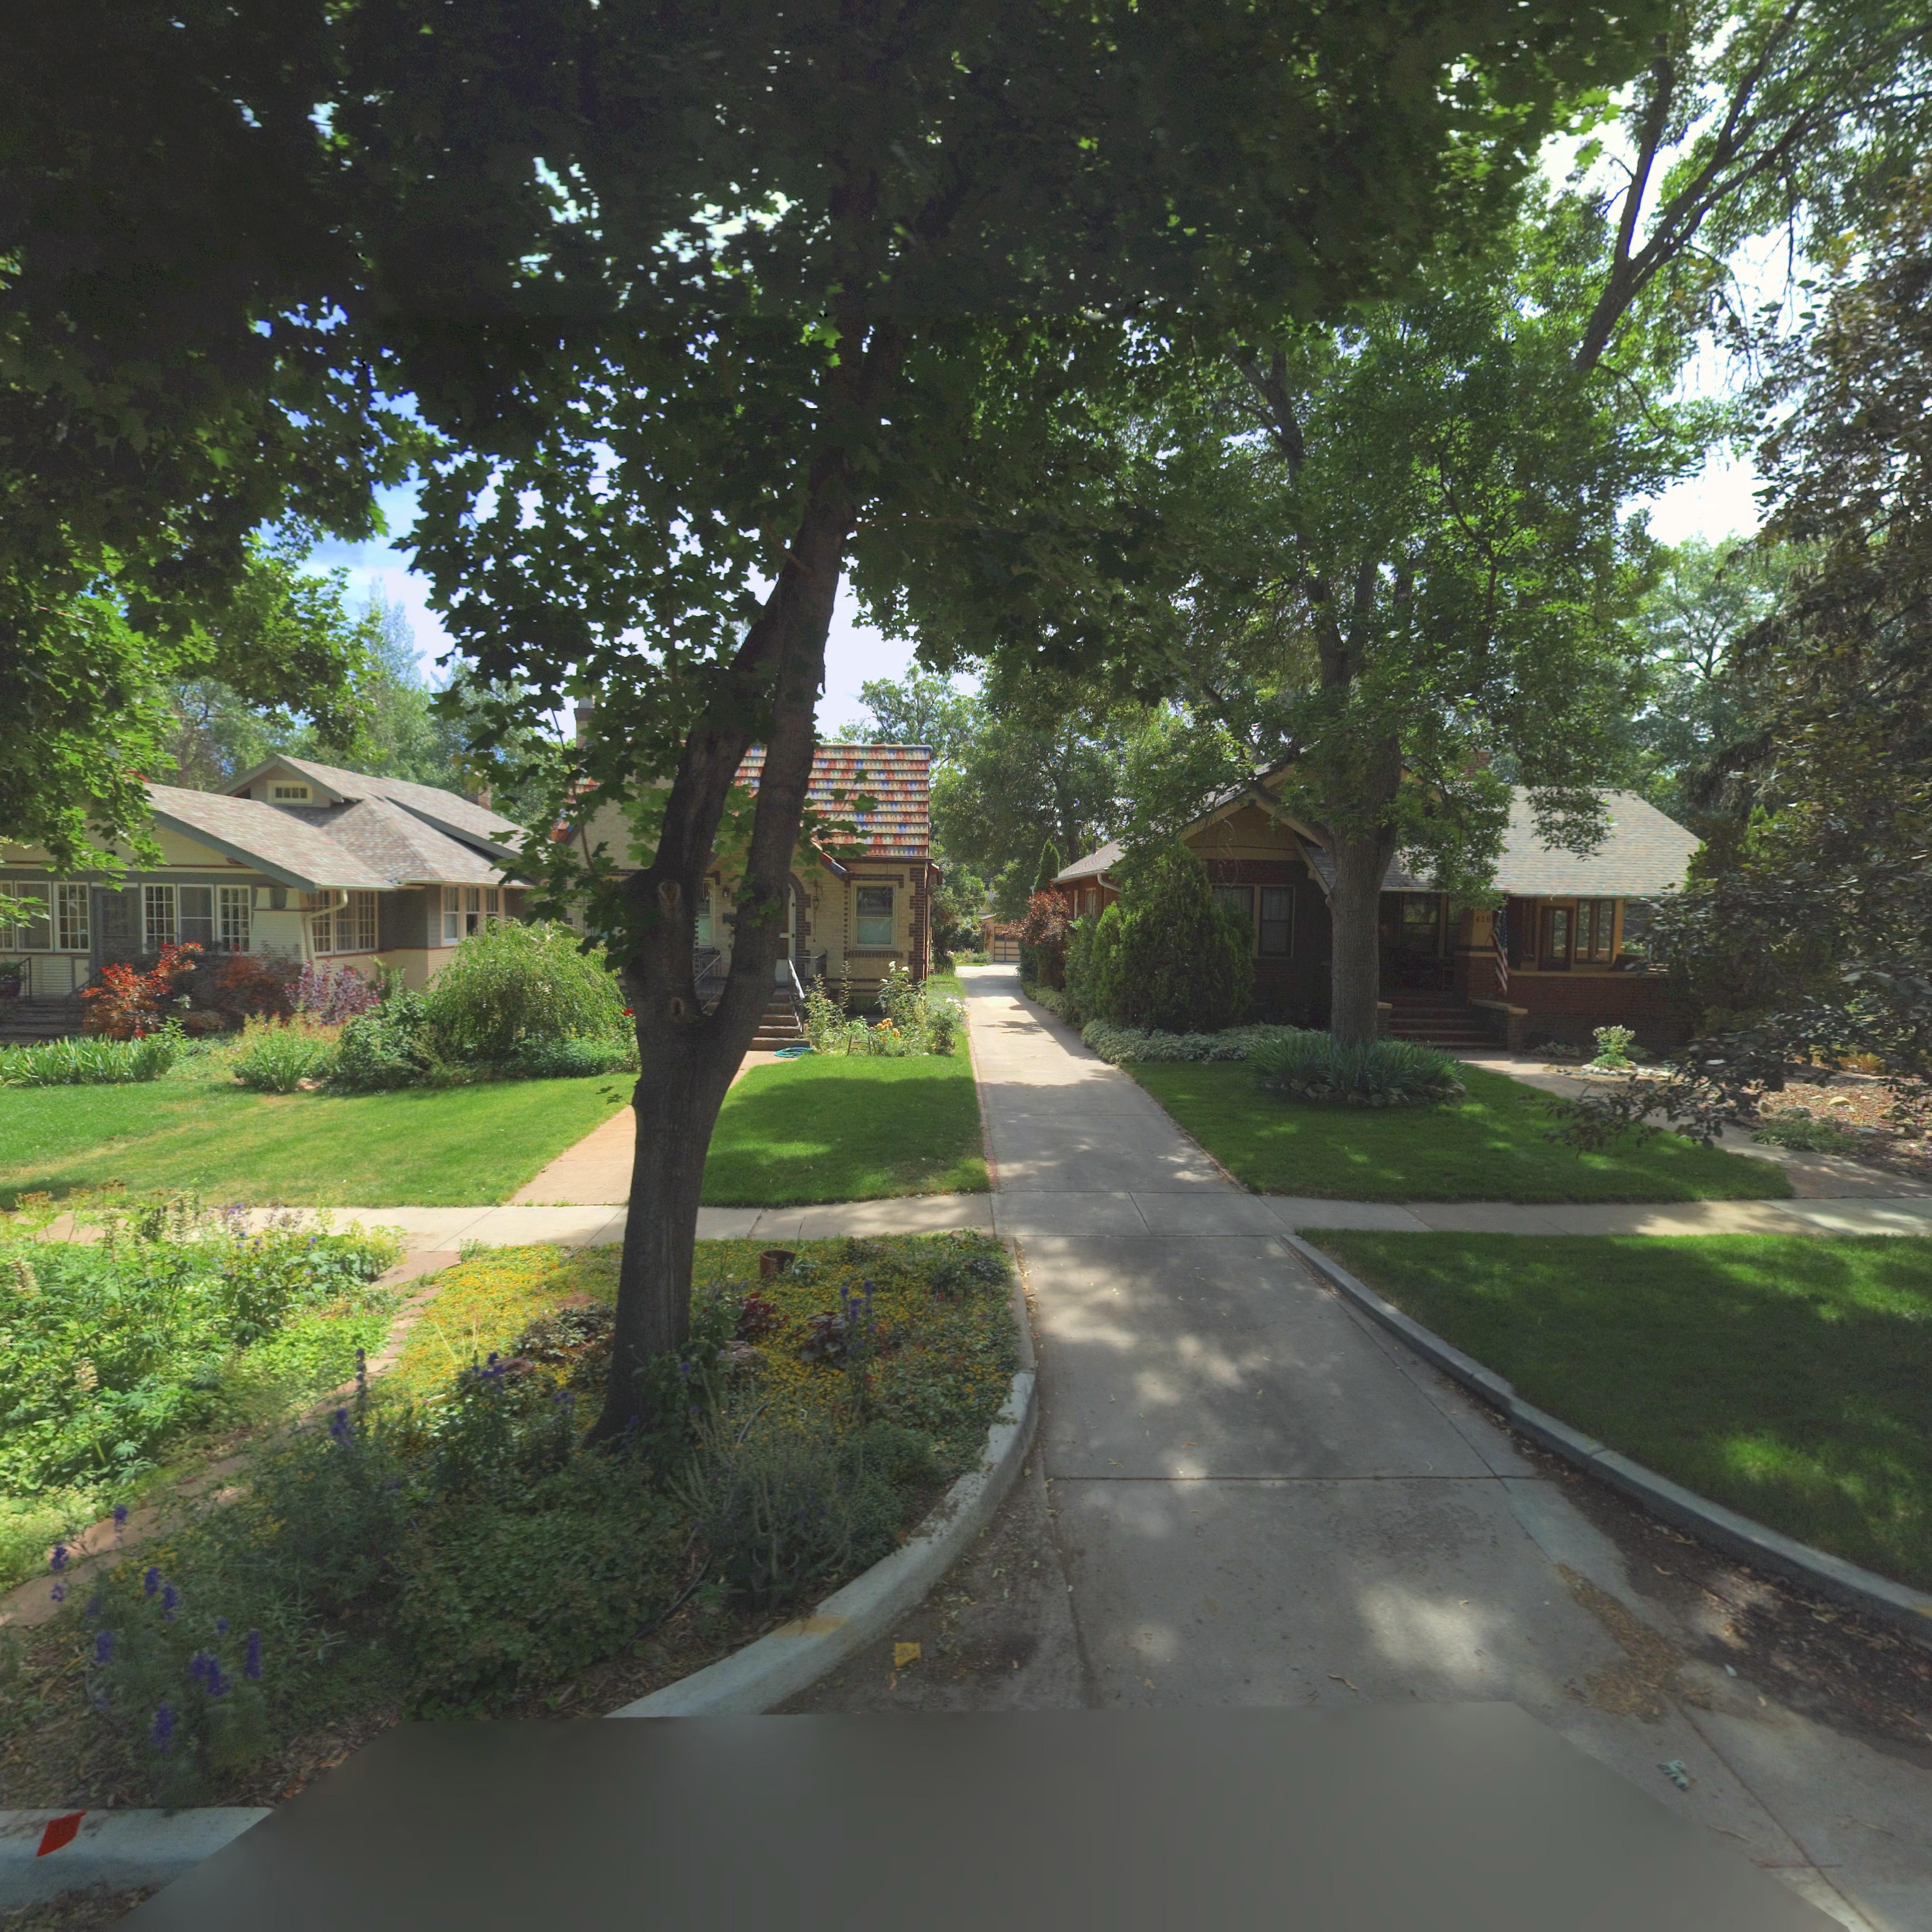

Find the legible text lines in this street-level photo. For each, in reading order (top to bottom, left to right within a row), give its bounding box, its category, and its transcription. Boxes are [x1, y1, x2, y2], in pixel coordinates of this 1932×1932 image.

[1475, 916, 1491, 922] StreetNumber: 416